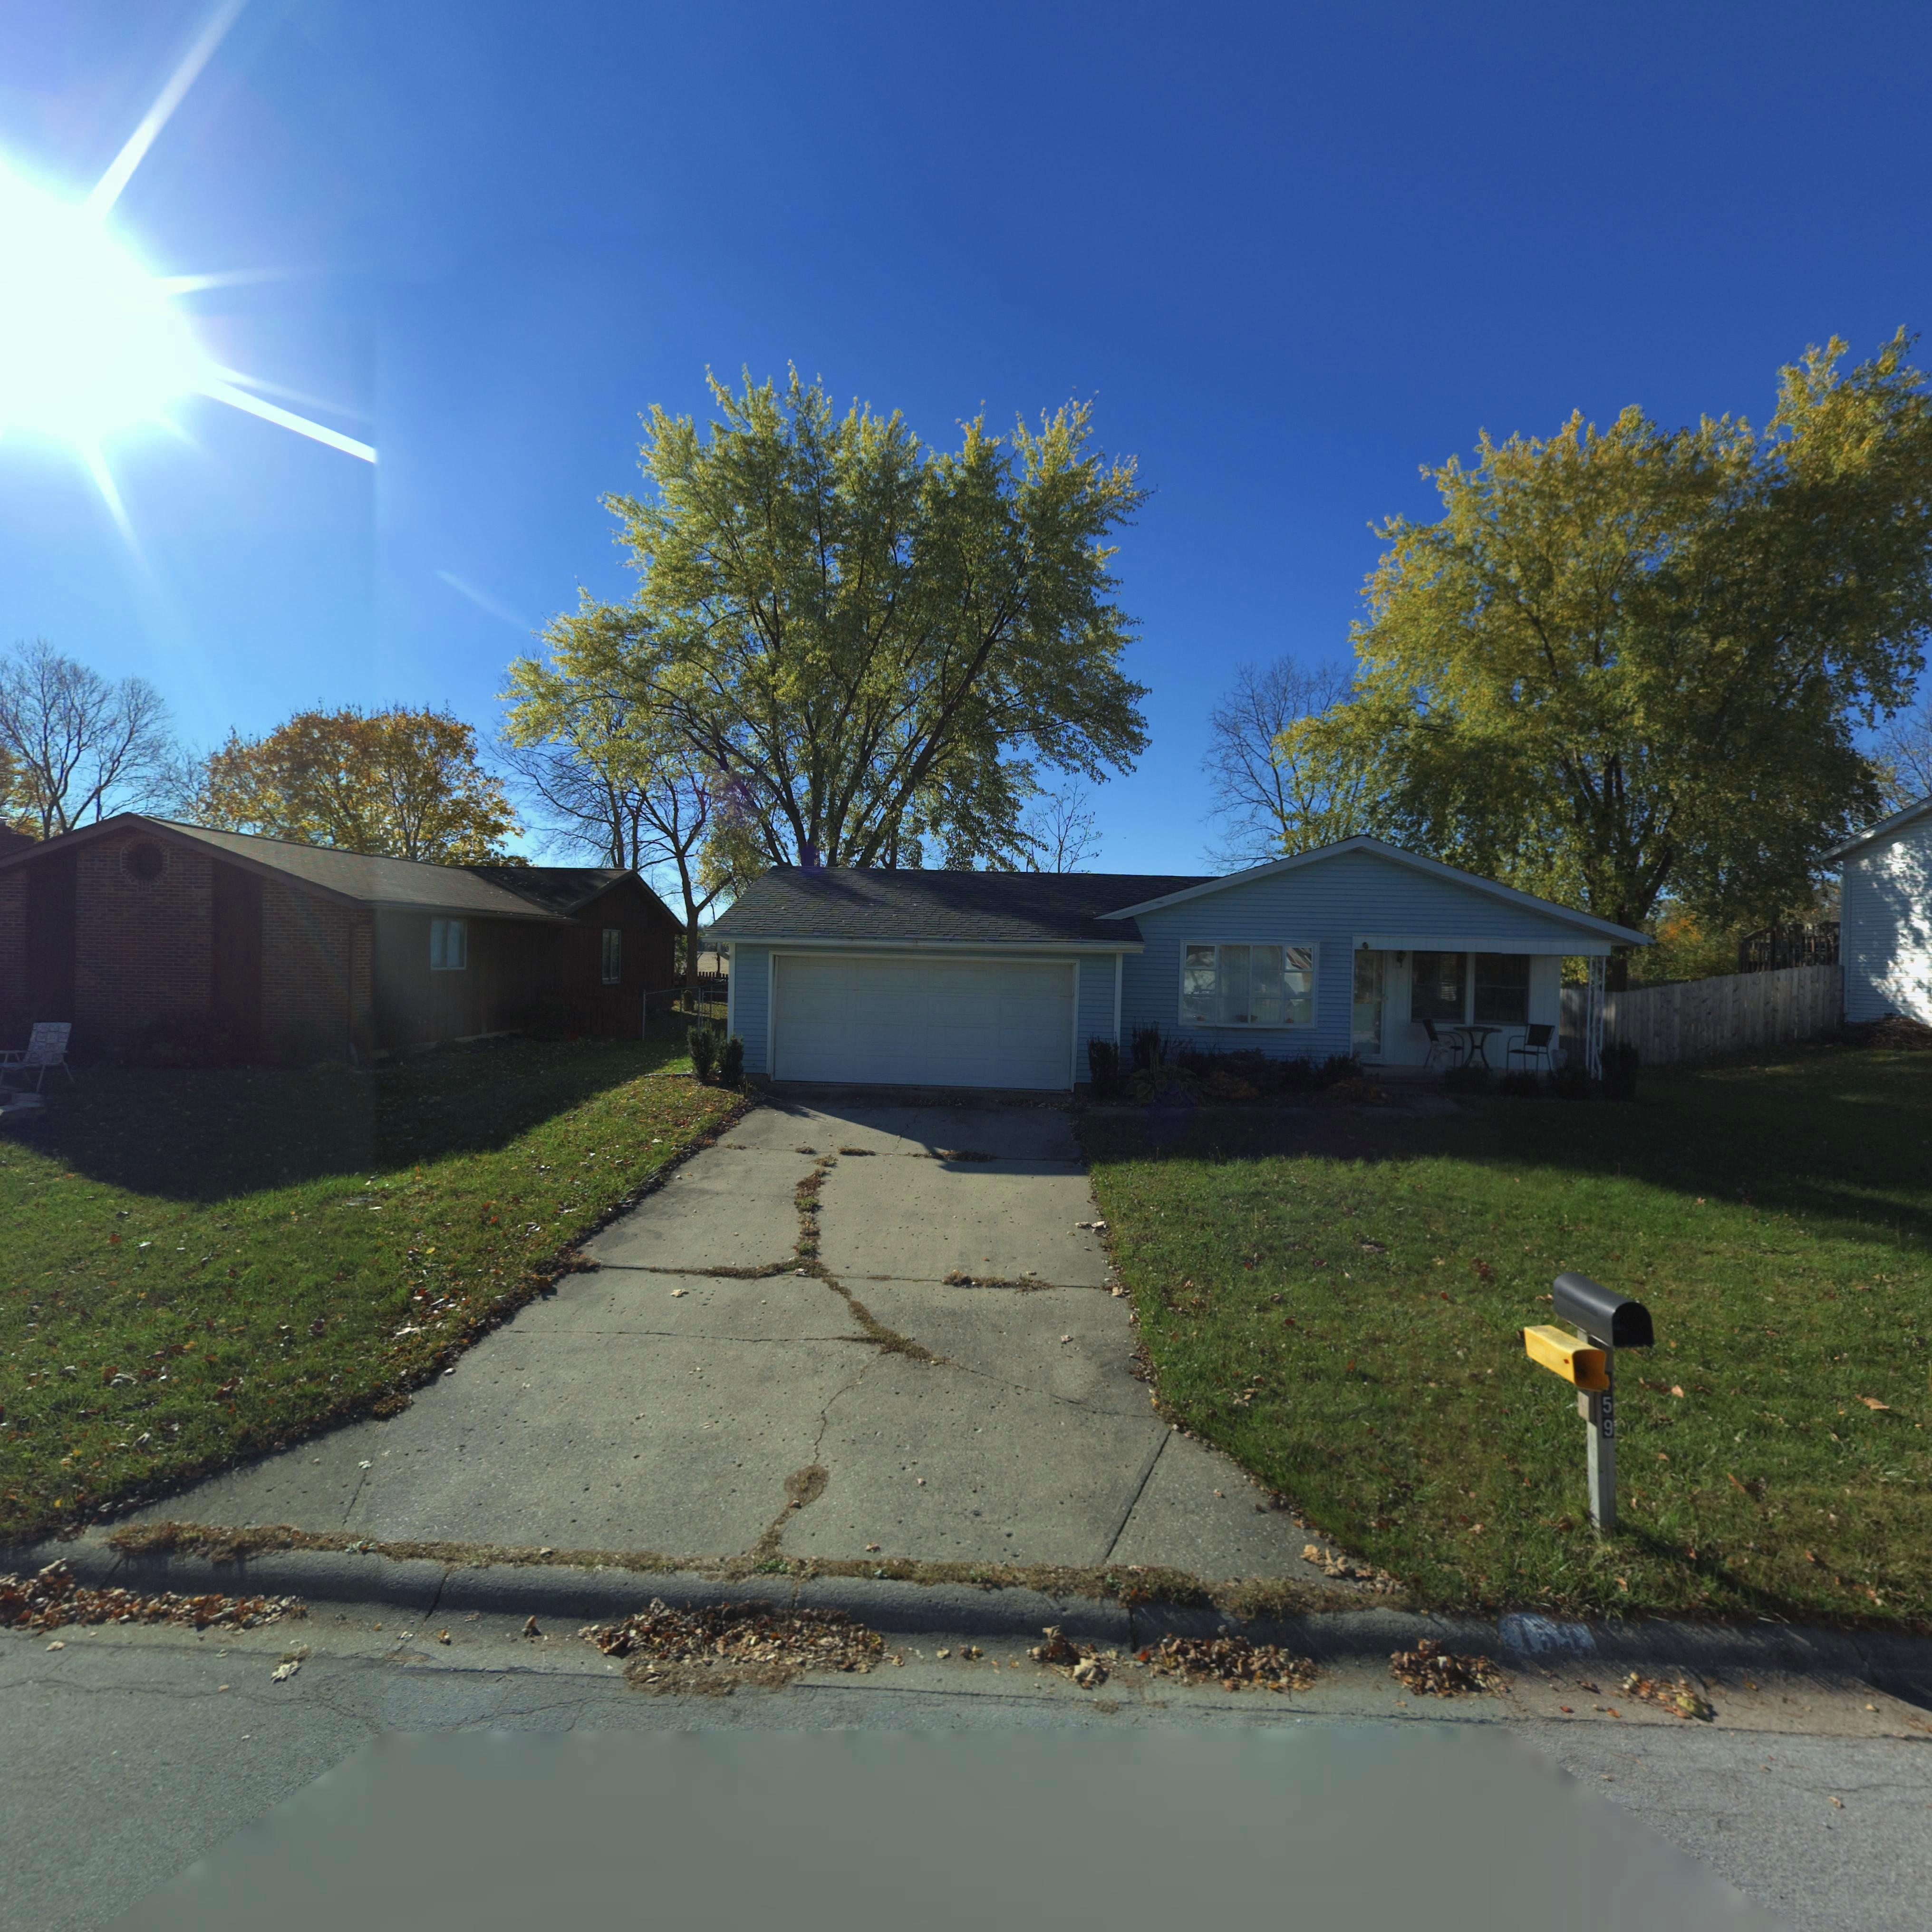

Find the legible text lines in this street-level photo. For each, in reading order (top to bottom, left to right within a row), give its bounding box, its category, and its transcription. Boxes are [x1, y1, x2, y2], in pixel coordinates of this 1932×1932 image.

[1602, 1395, 1614, 1438] StreetNumber: 59
[1509, 1620, 1592, 1655] StreetNumber: 159